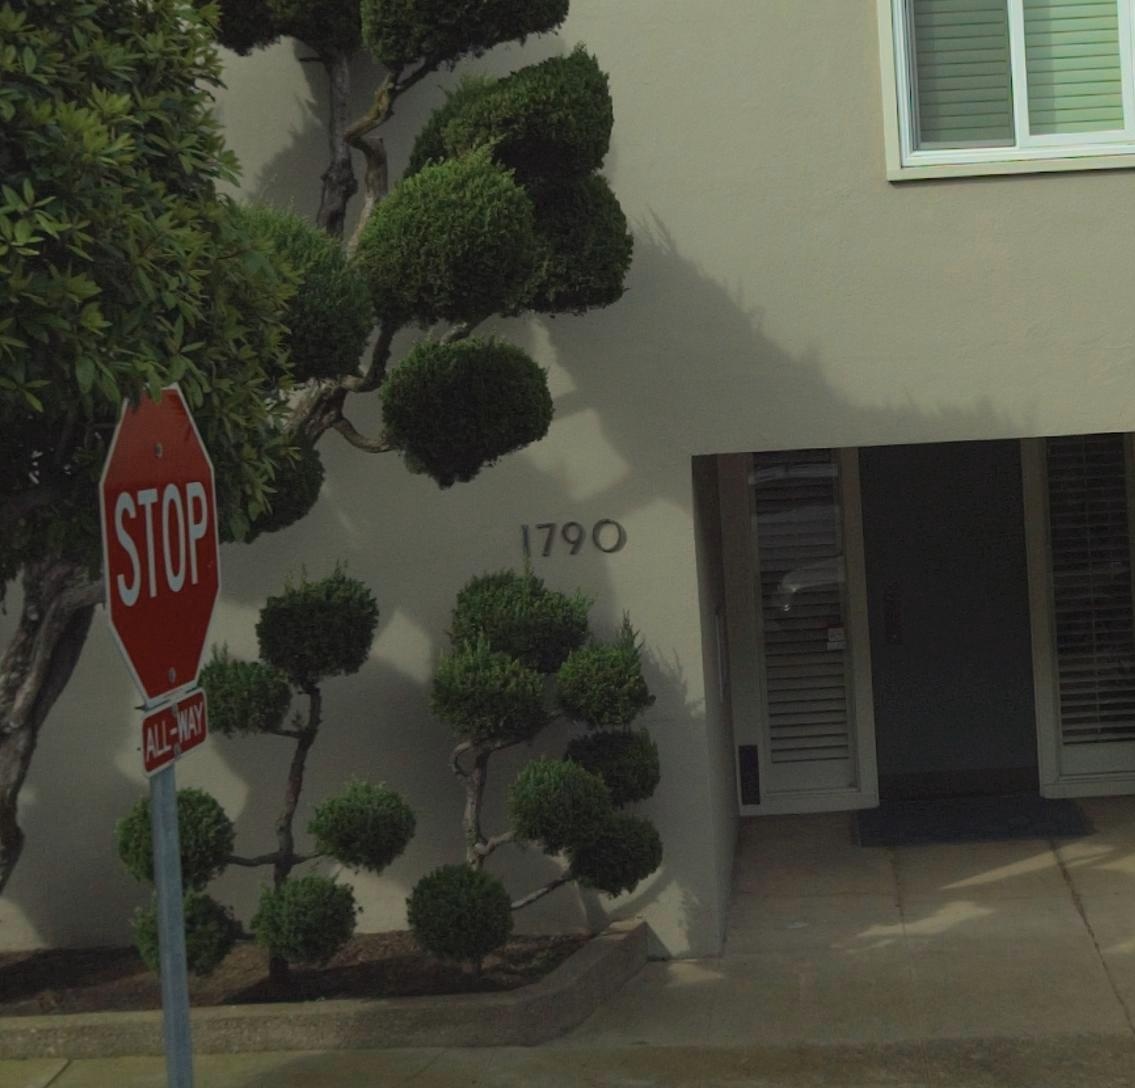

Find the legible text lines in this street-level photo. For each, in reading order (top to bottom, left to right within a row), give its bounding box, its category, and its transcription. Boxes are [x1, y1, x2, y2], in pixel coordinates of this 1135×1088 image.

[109, 475, 212, 612] None: STOP
[517, 516, 626, 561] StreetNumber: 1790
[143, 698, 205, 765] None: ALL-WAY